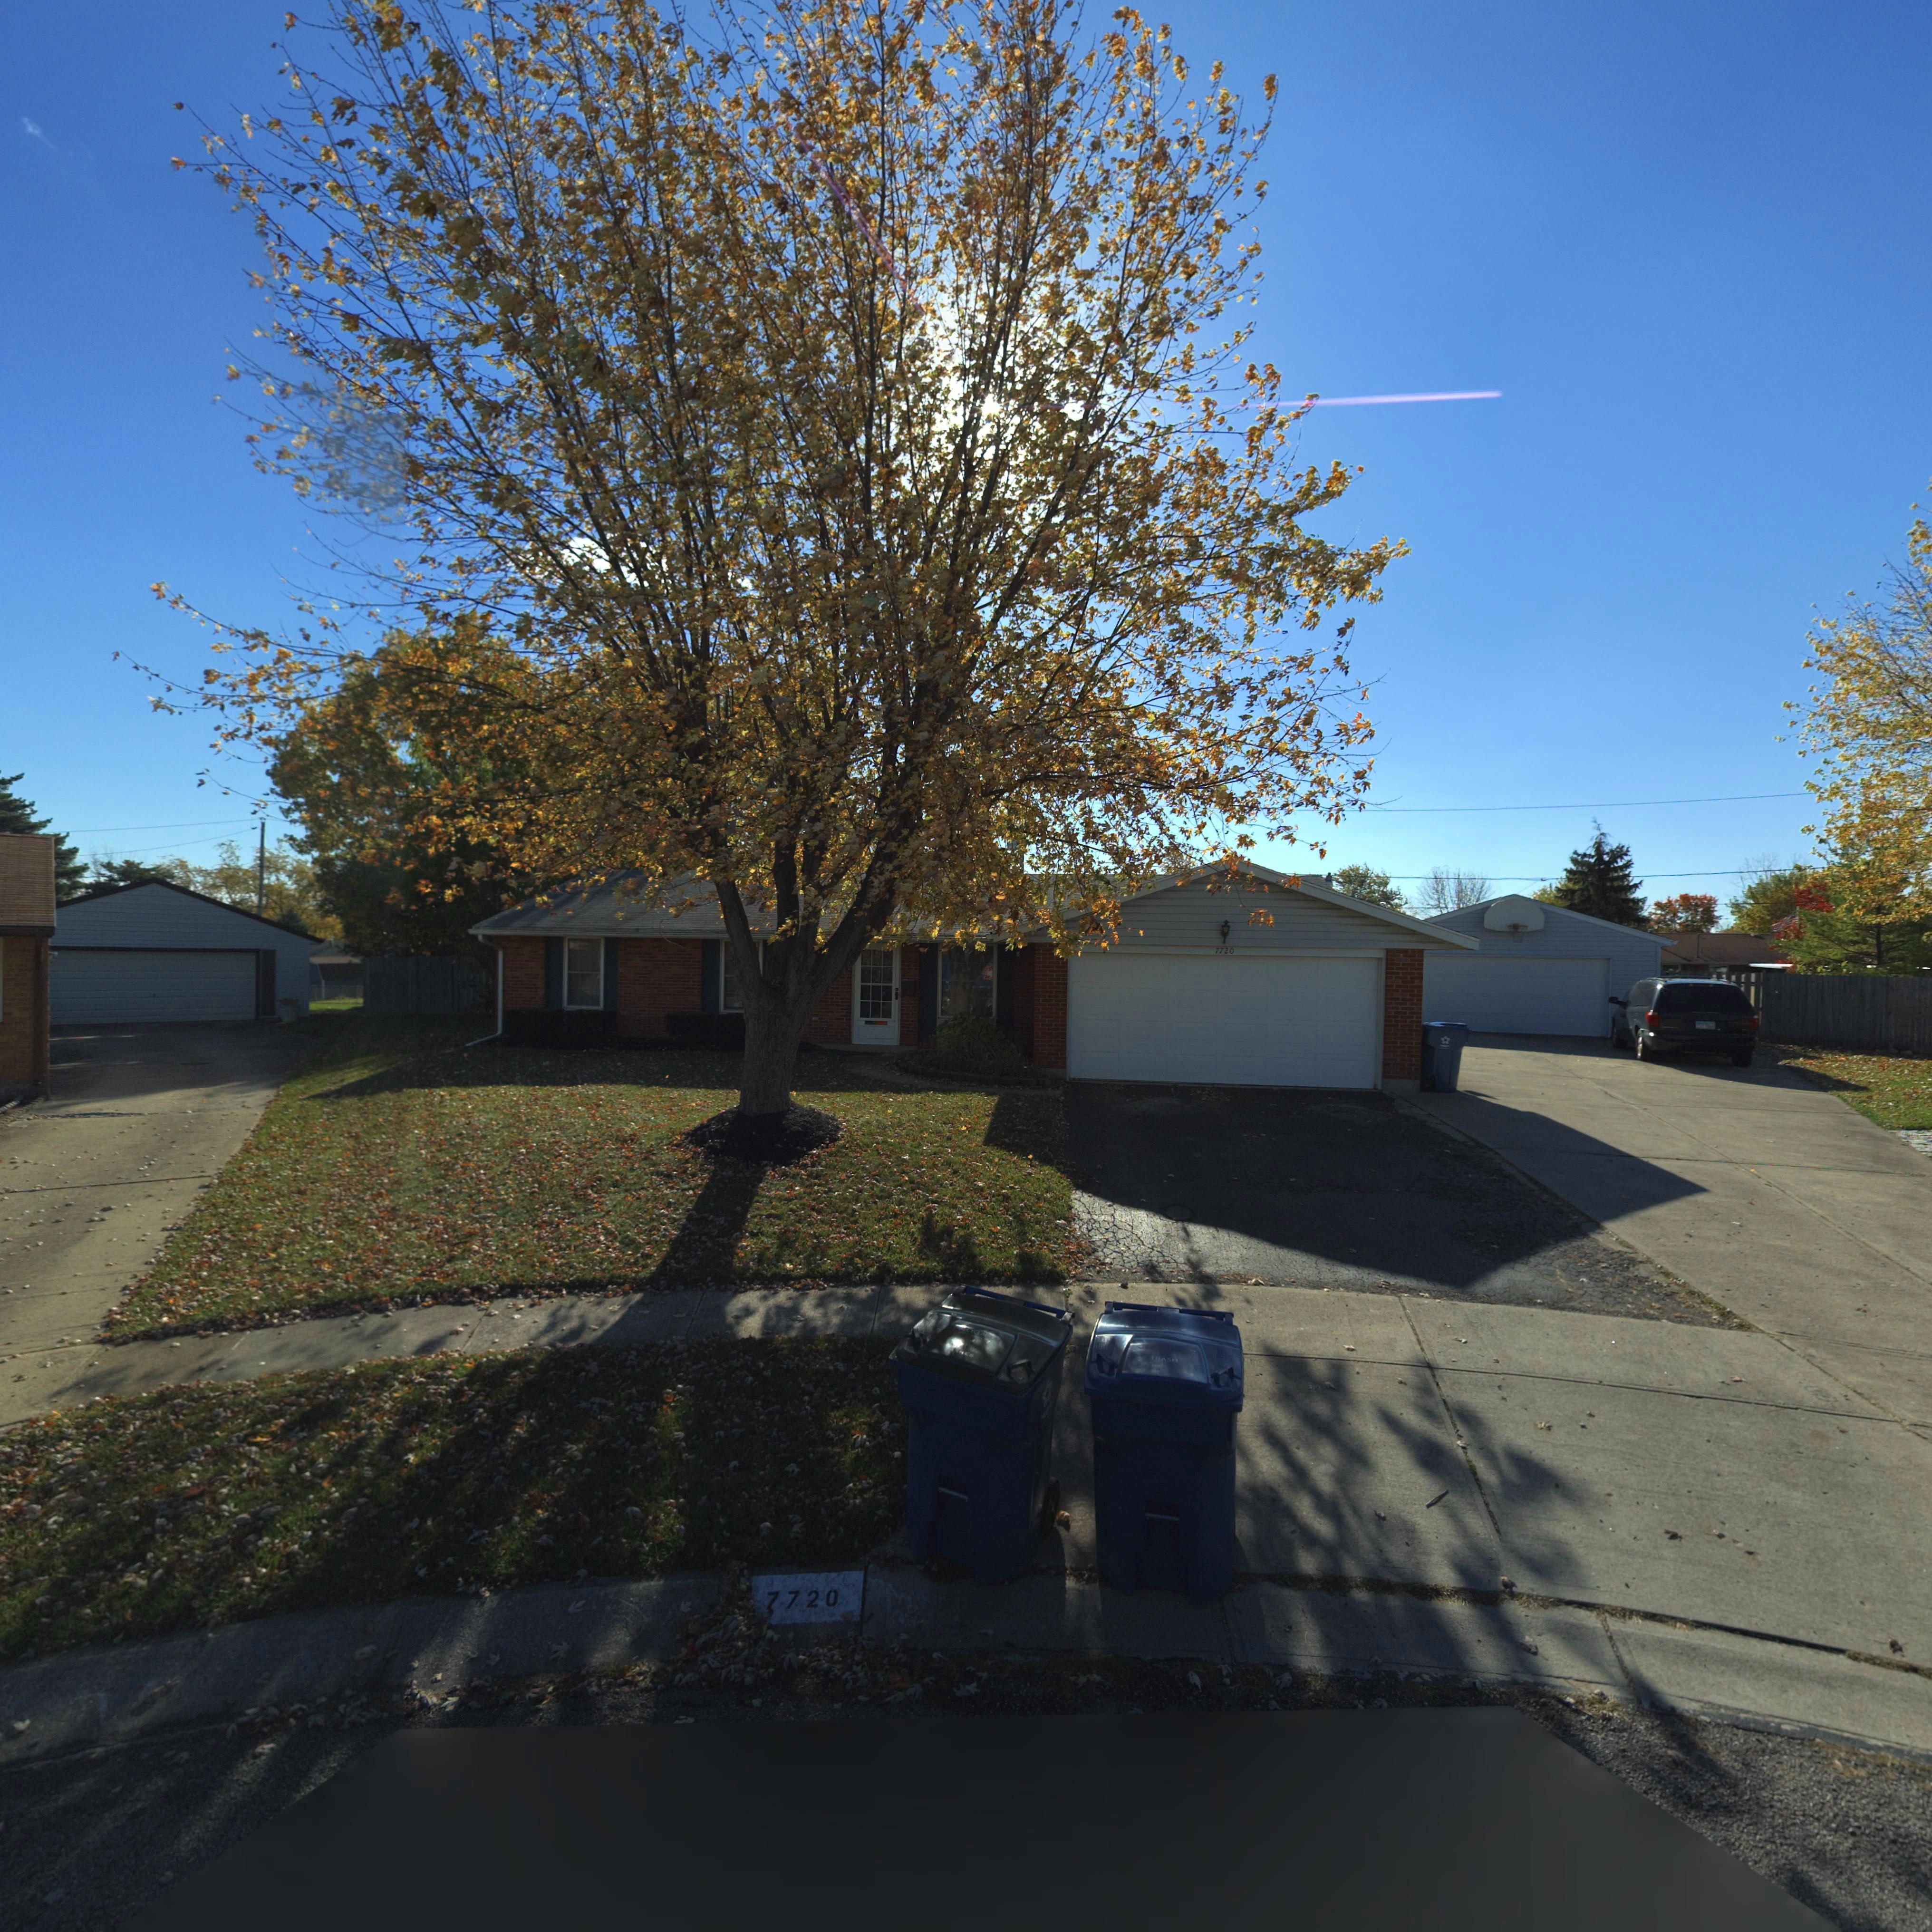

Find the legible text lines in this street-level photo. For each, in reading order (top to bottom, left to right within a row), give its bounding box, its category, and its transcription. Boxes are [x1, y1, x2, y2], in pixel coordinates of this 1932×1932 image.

[1214, 947, 1235, 955] StreetNumber: 7720
[764, 1587, 840, 1612] StreetNumber: 7720